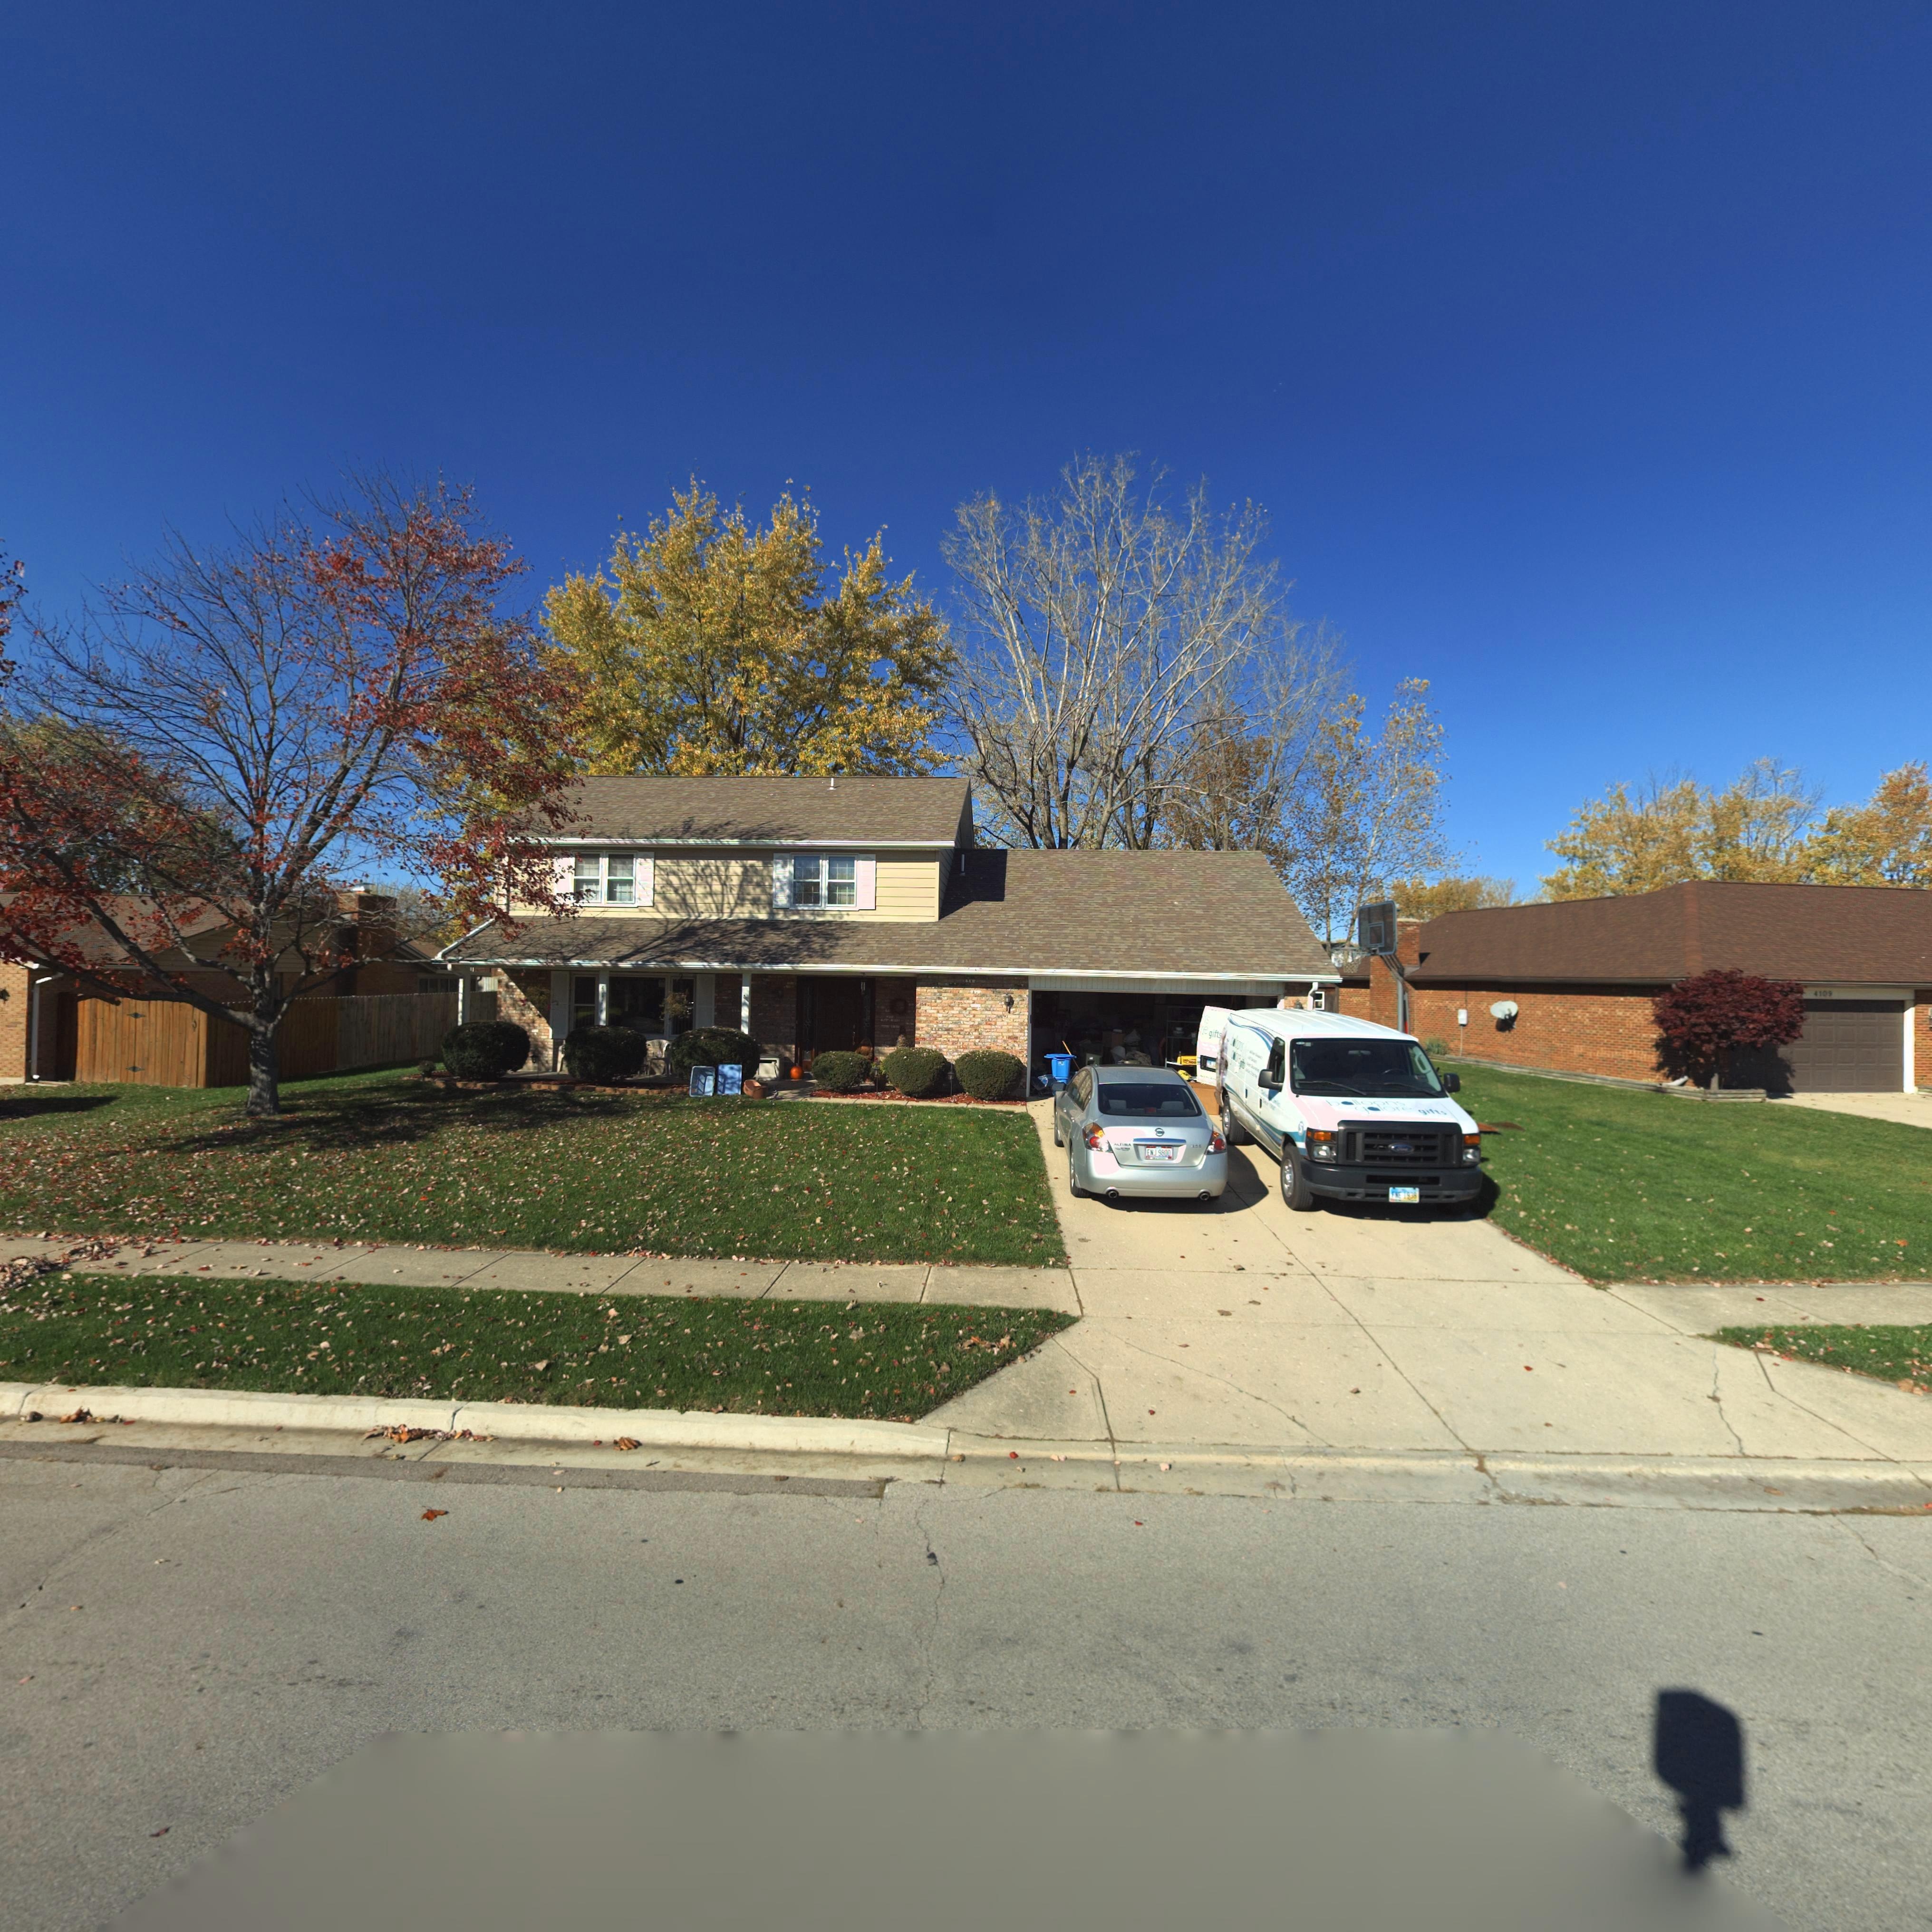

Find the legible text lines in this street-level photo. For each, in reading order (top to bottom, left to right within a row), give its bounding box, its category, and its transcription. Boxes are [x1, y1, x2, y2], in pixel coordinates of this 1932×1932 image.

[600, 985, 605, 1013] StreetNumber: 4111